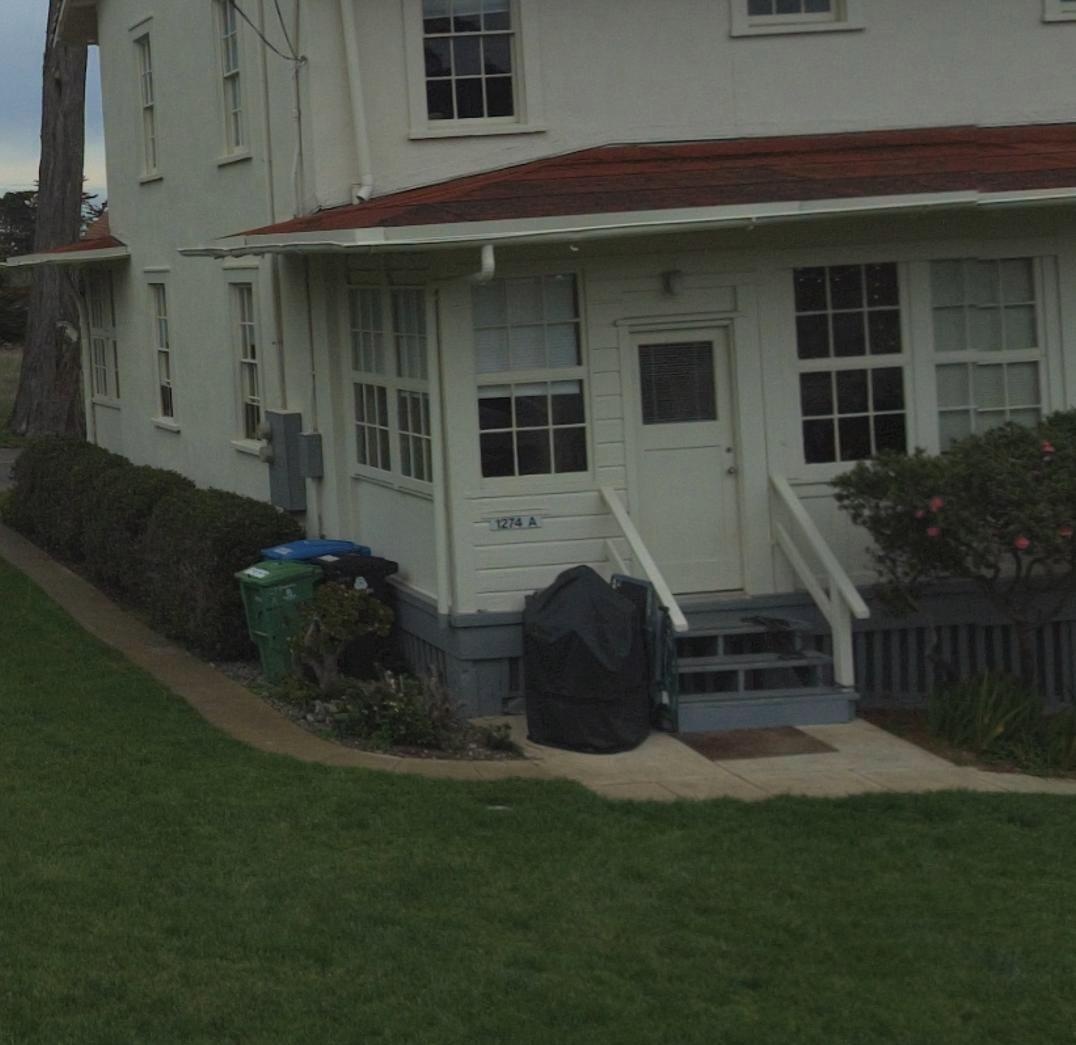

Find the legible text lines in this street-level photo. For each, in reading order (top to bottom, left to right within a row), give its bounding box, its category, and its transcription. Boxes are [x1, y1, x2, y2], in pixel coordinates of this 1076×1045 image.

[494, 515, 540, 530] StreetNumber: 1274 A